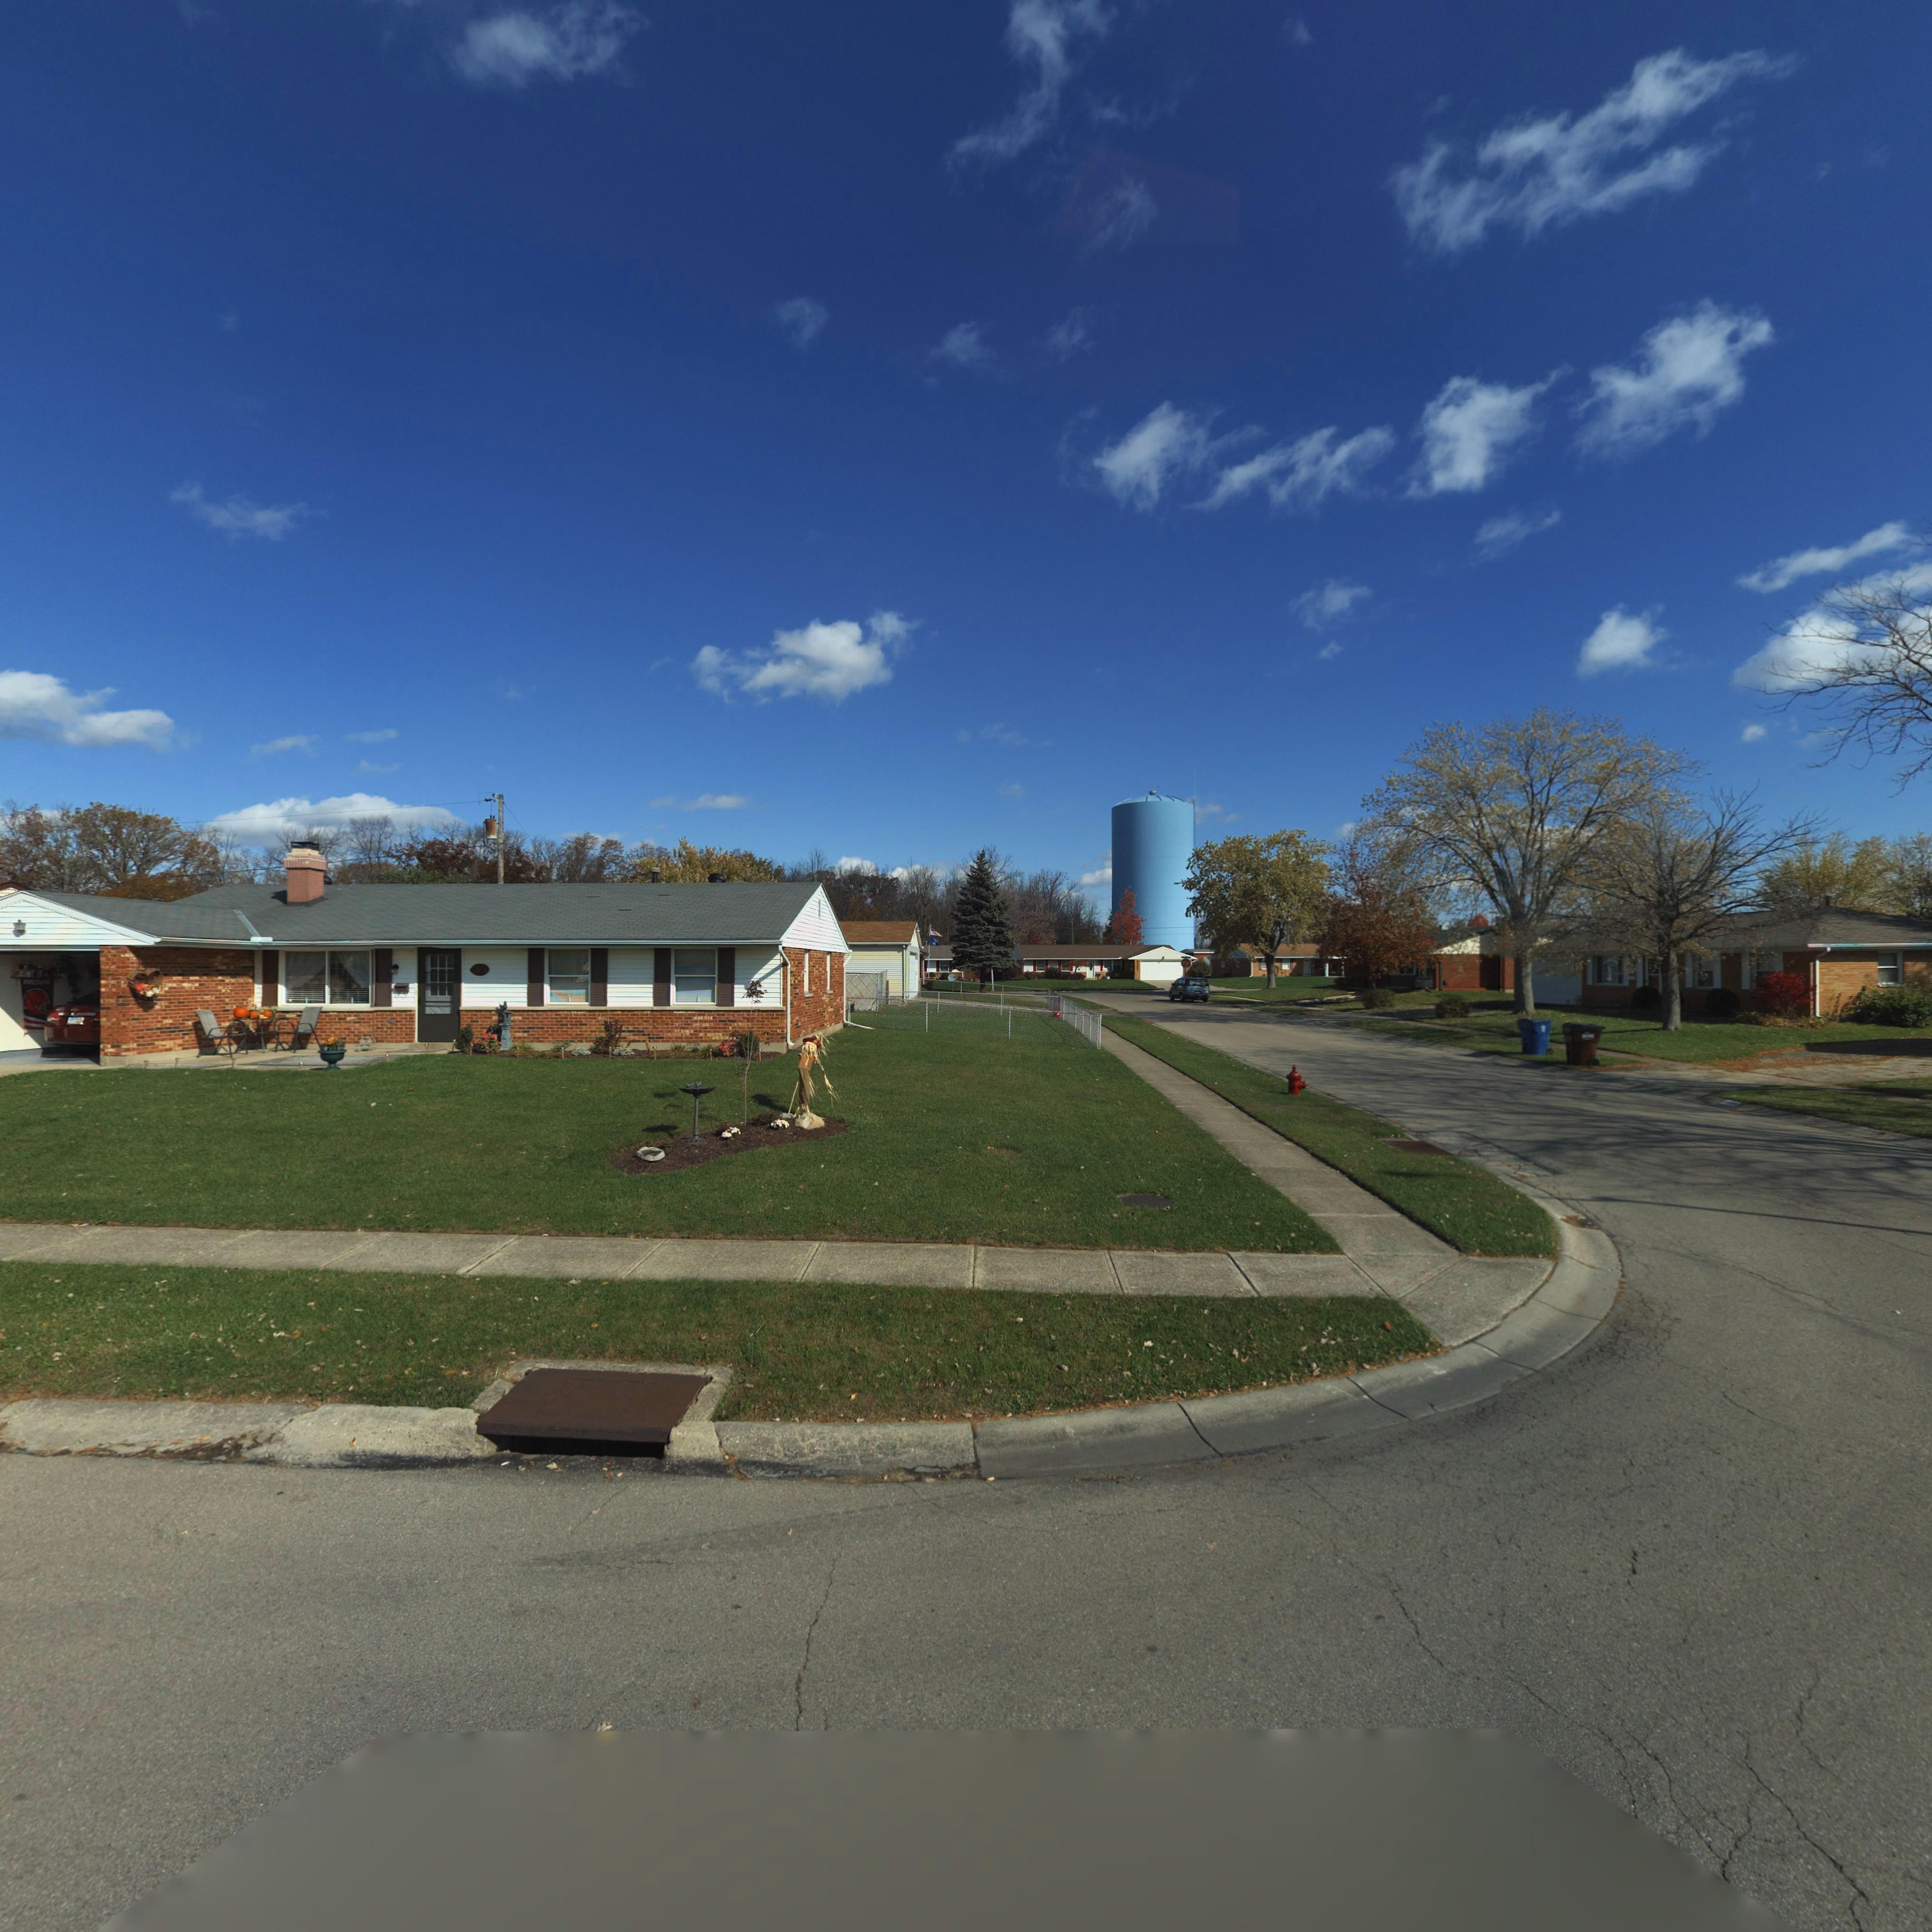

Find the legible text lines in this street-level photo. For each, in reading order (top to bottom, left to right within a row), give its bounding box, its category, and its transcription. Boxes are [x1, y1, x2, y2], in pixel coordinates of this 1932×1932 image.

[472, 965, 488, 974] StreetNumber: 7821